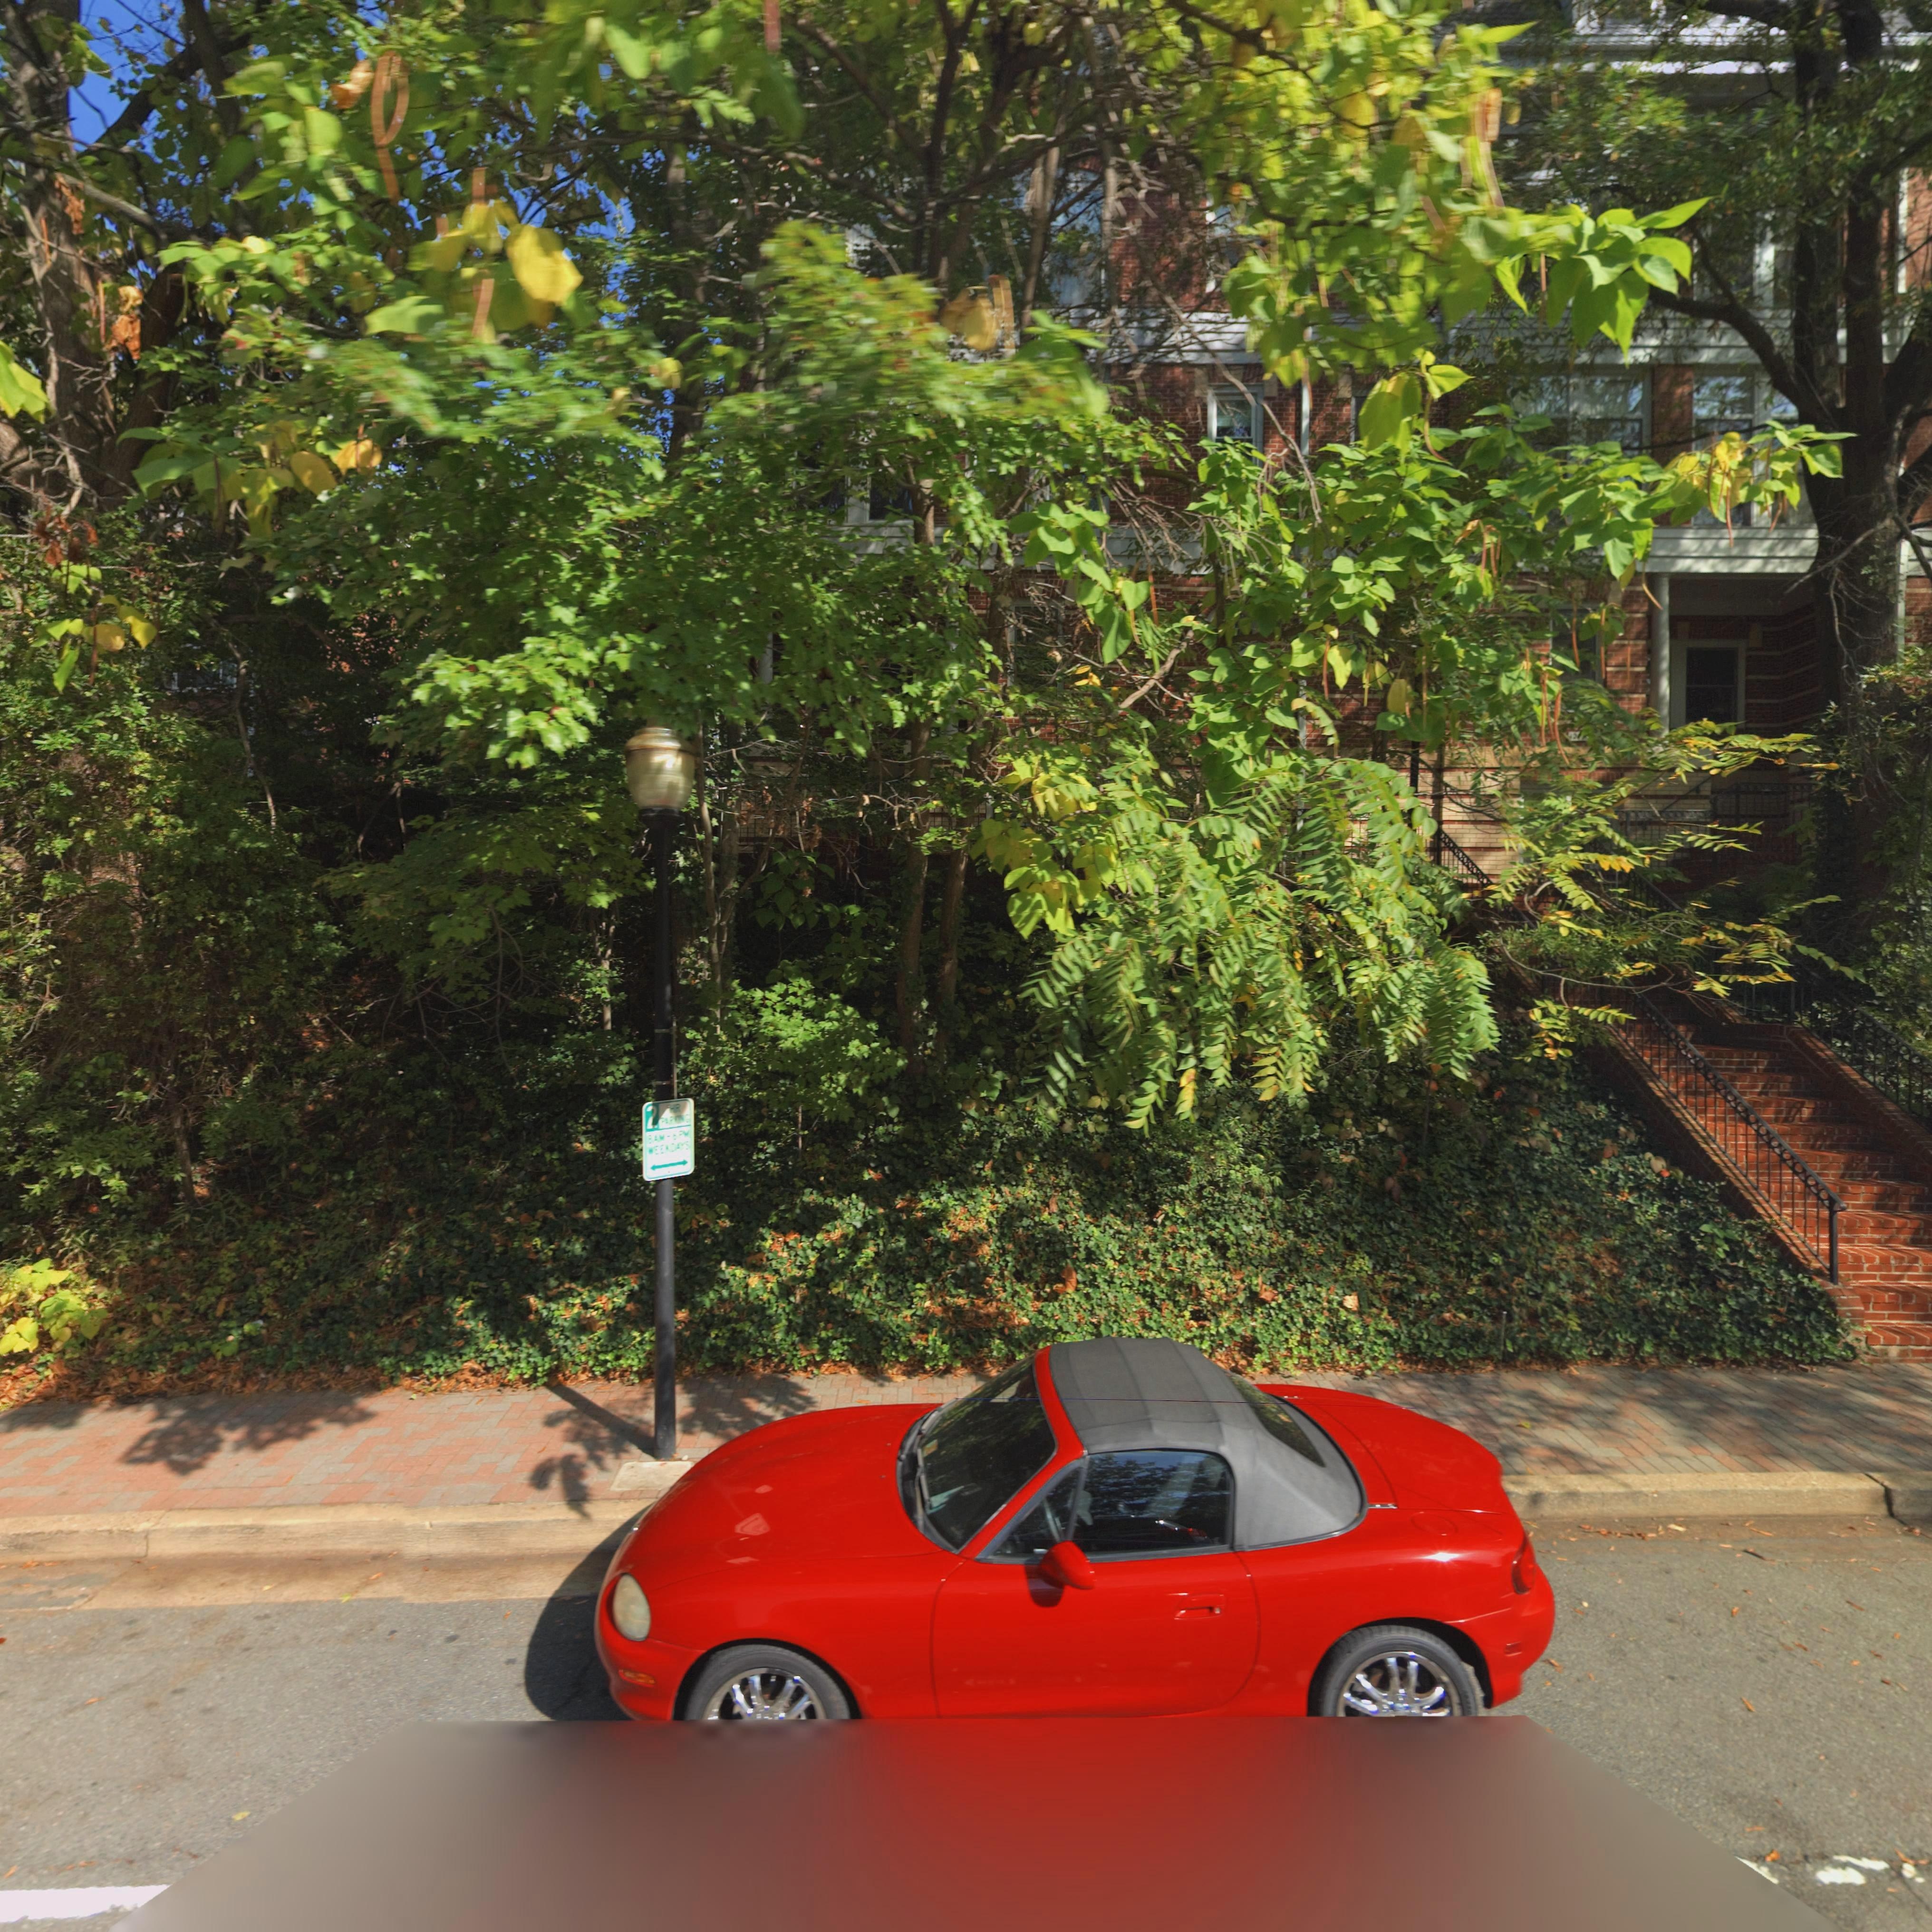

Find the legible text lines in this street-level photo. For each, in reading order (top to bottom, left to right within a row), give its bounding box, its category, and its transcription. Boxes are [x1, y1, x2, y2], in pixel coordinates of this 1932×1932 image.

[1569, 732, 1588, 740] StreetNumber: *2**
[669, 1103, 681, 1114] None: HR
[646, 1105, 658, 1130] None: 2
[659, 1113, 690, 1128] None: *AR**NG
[647, 1129, 690, 1145] None: 8AM-6PM
[647, 1140, 690, 1157] None: WEEKDAYS